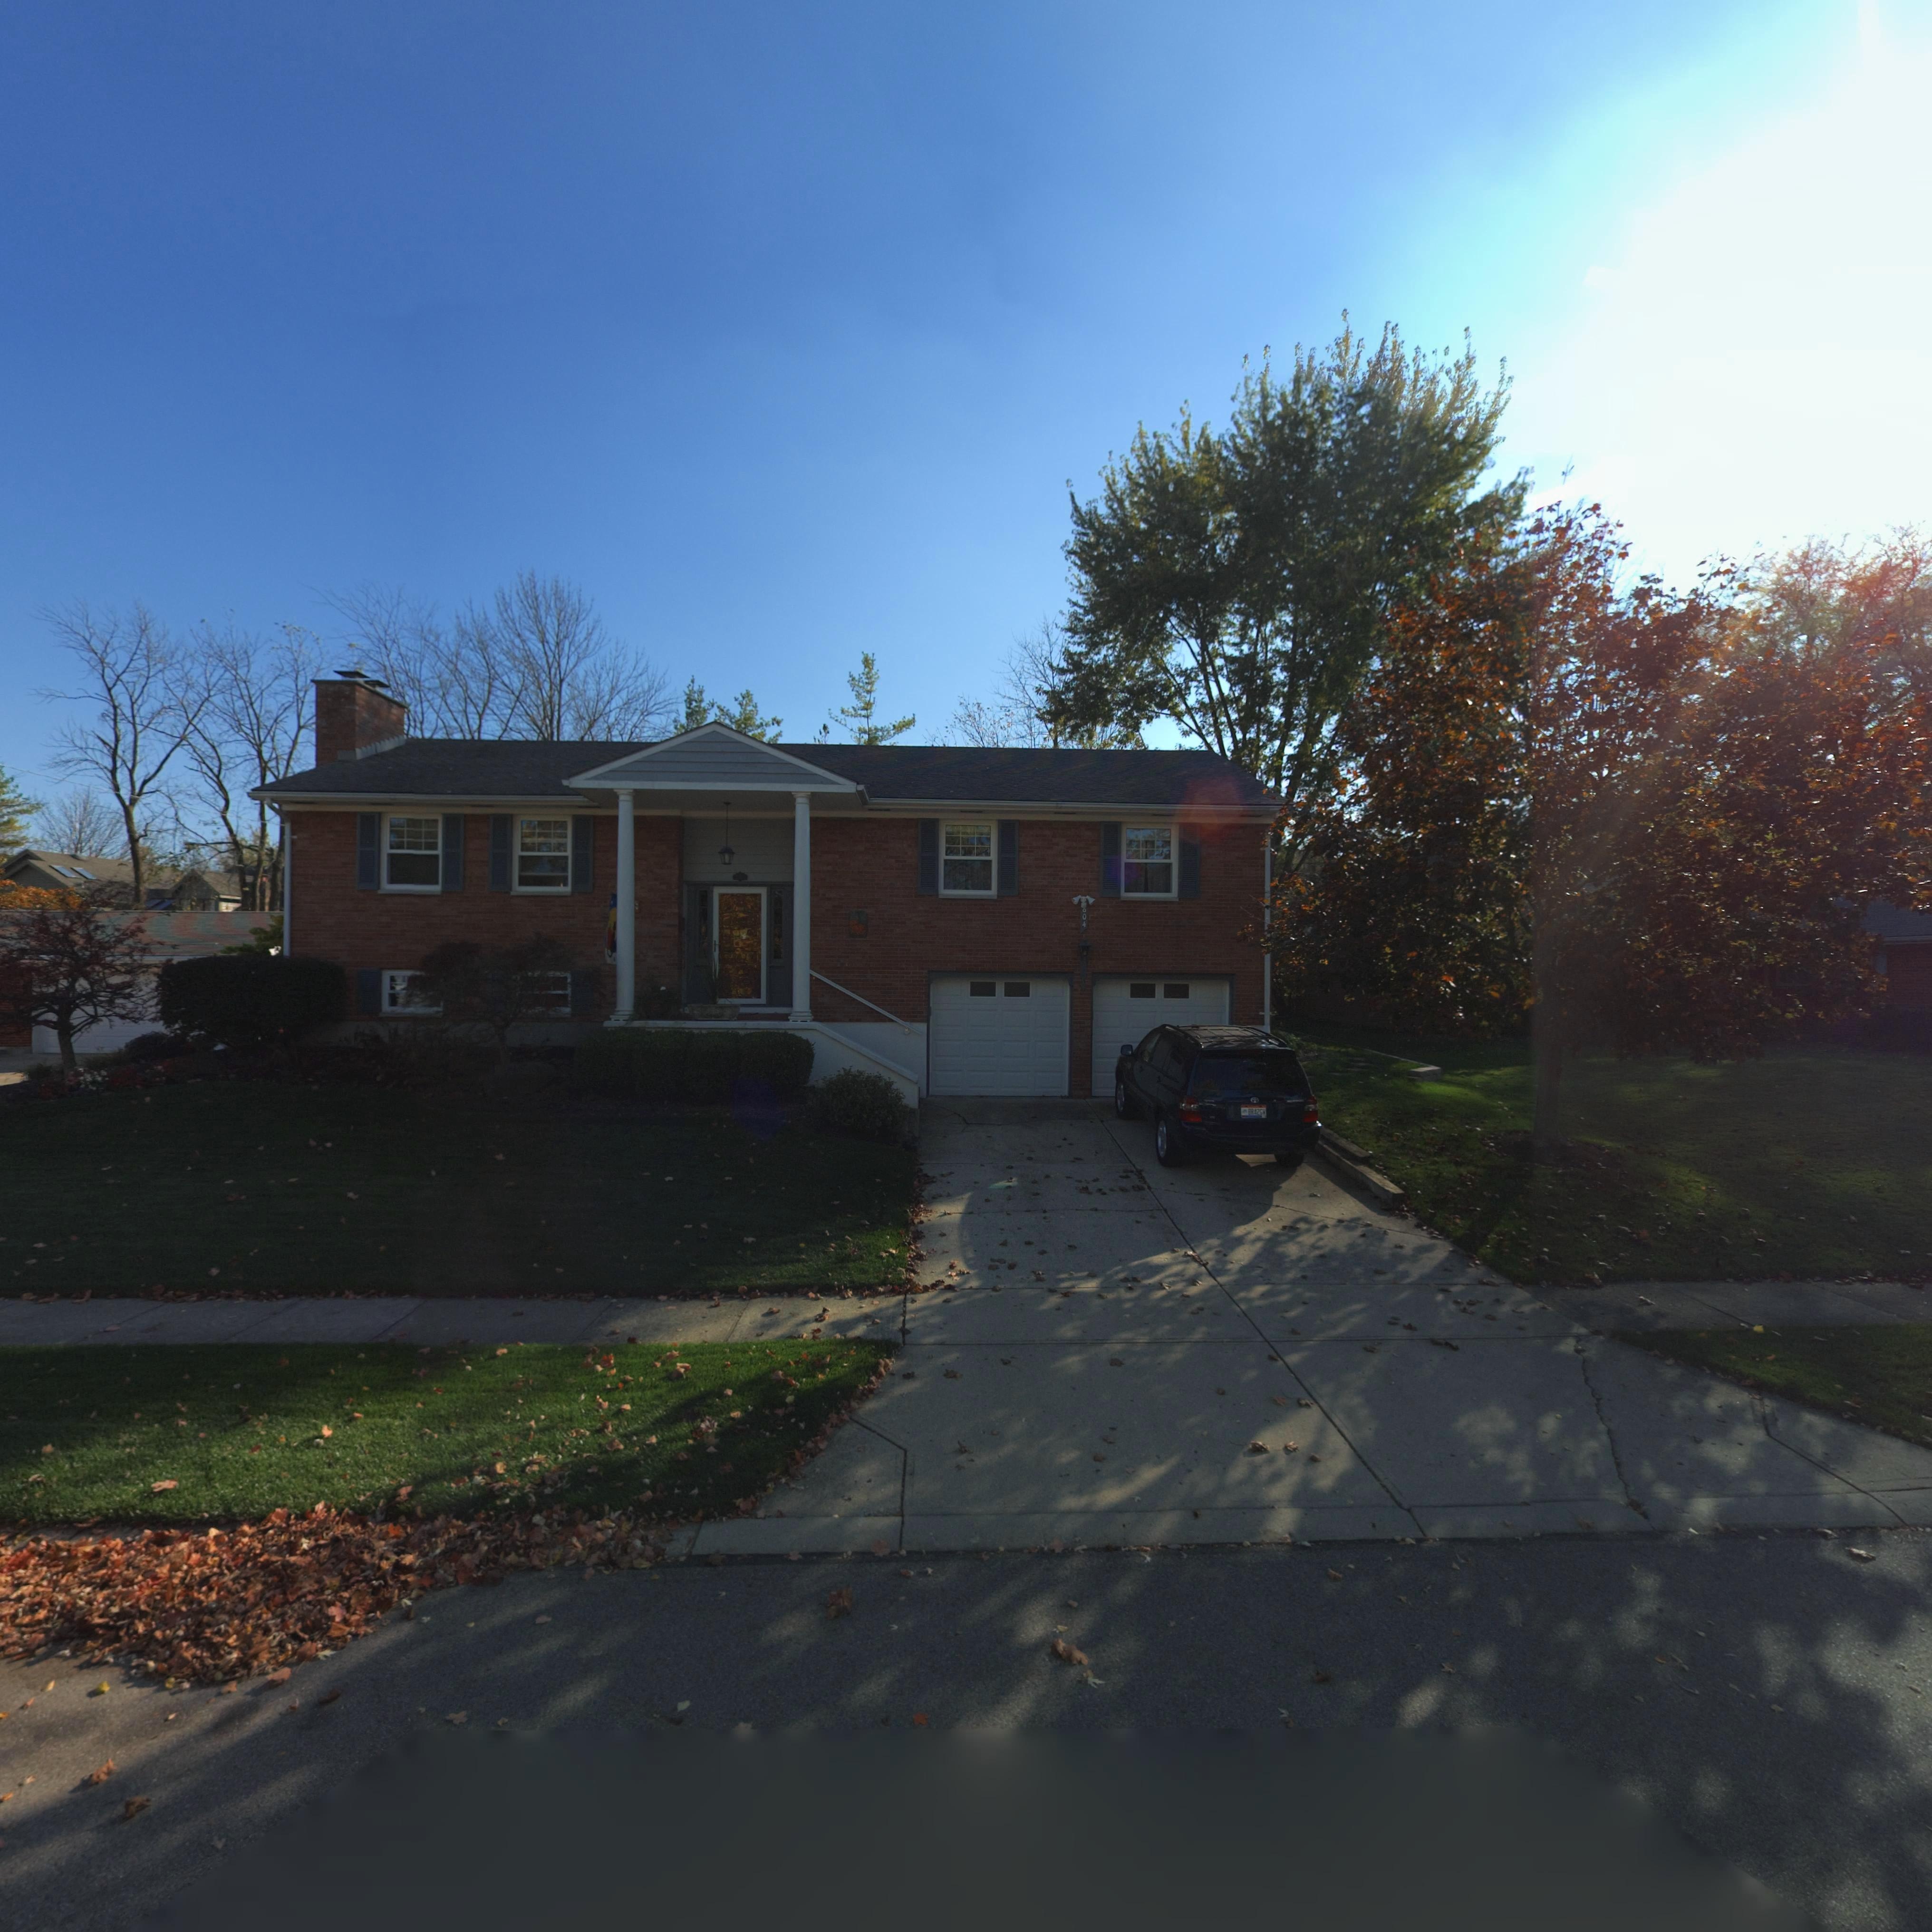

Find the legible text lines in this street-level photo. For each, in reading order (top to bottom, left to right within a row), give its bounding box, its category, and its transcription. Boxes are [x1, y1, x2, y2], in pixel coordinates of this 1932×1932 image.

[1081, 912, 1088, 929] StreetNumber: 04